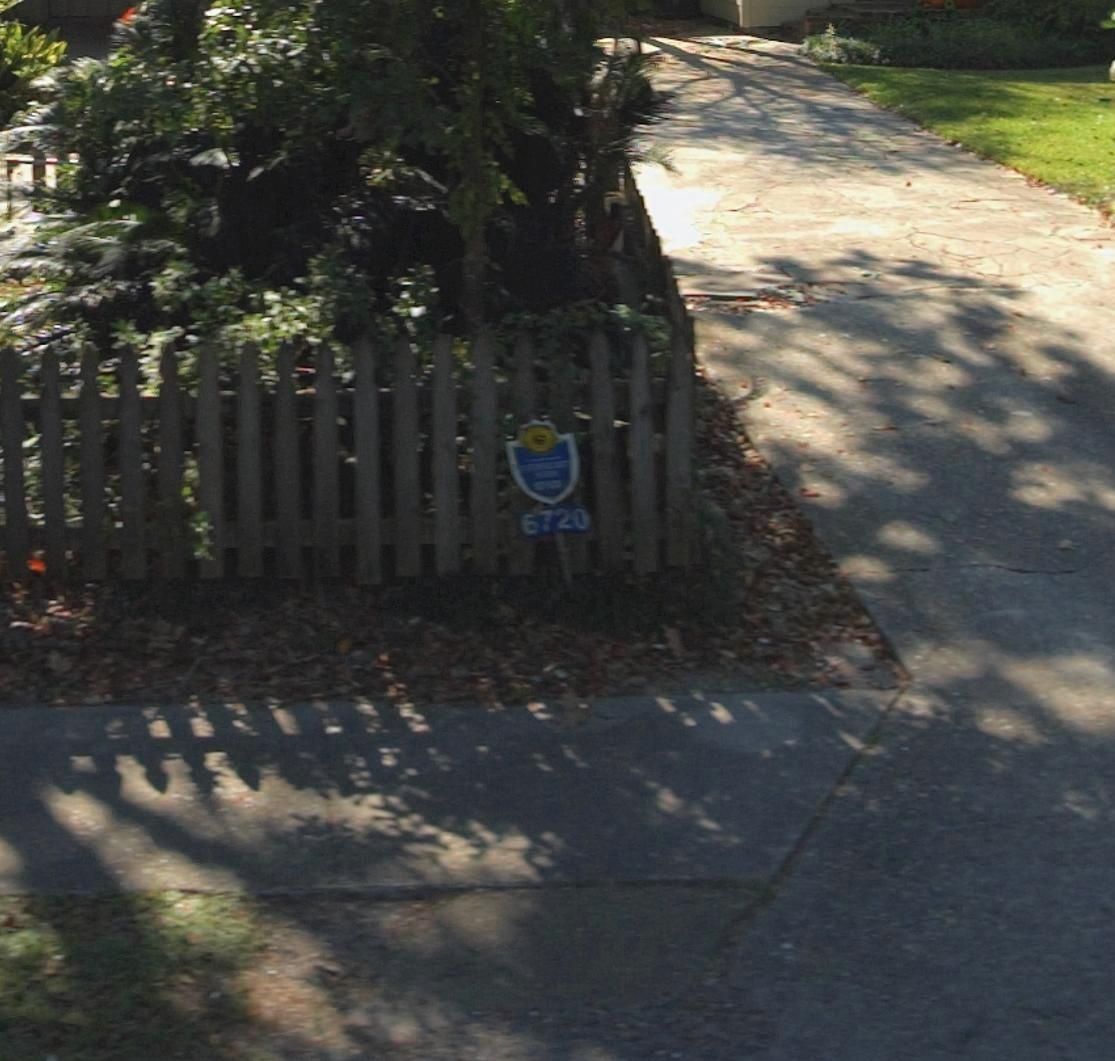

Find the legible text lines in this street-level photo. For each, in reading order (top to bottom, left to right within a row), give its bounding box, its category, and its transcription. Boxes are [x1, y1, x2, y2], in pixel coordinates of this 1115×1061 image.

[517, 505, 595, 539] StreetNumber: 6720